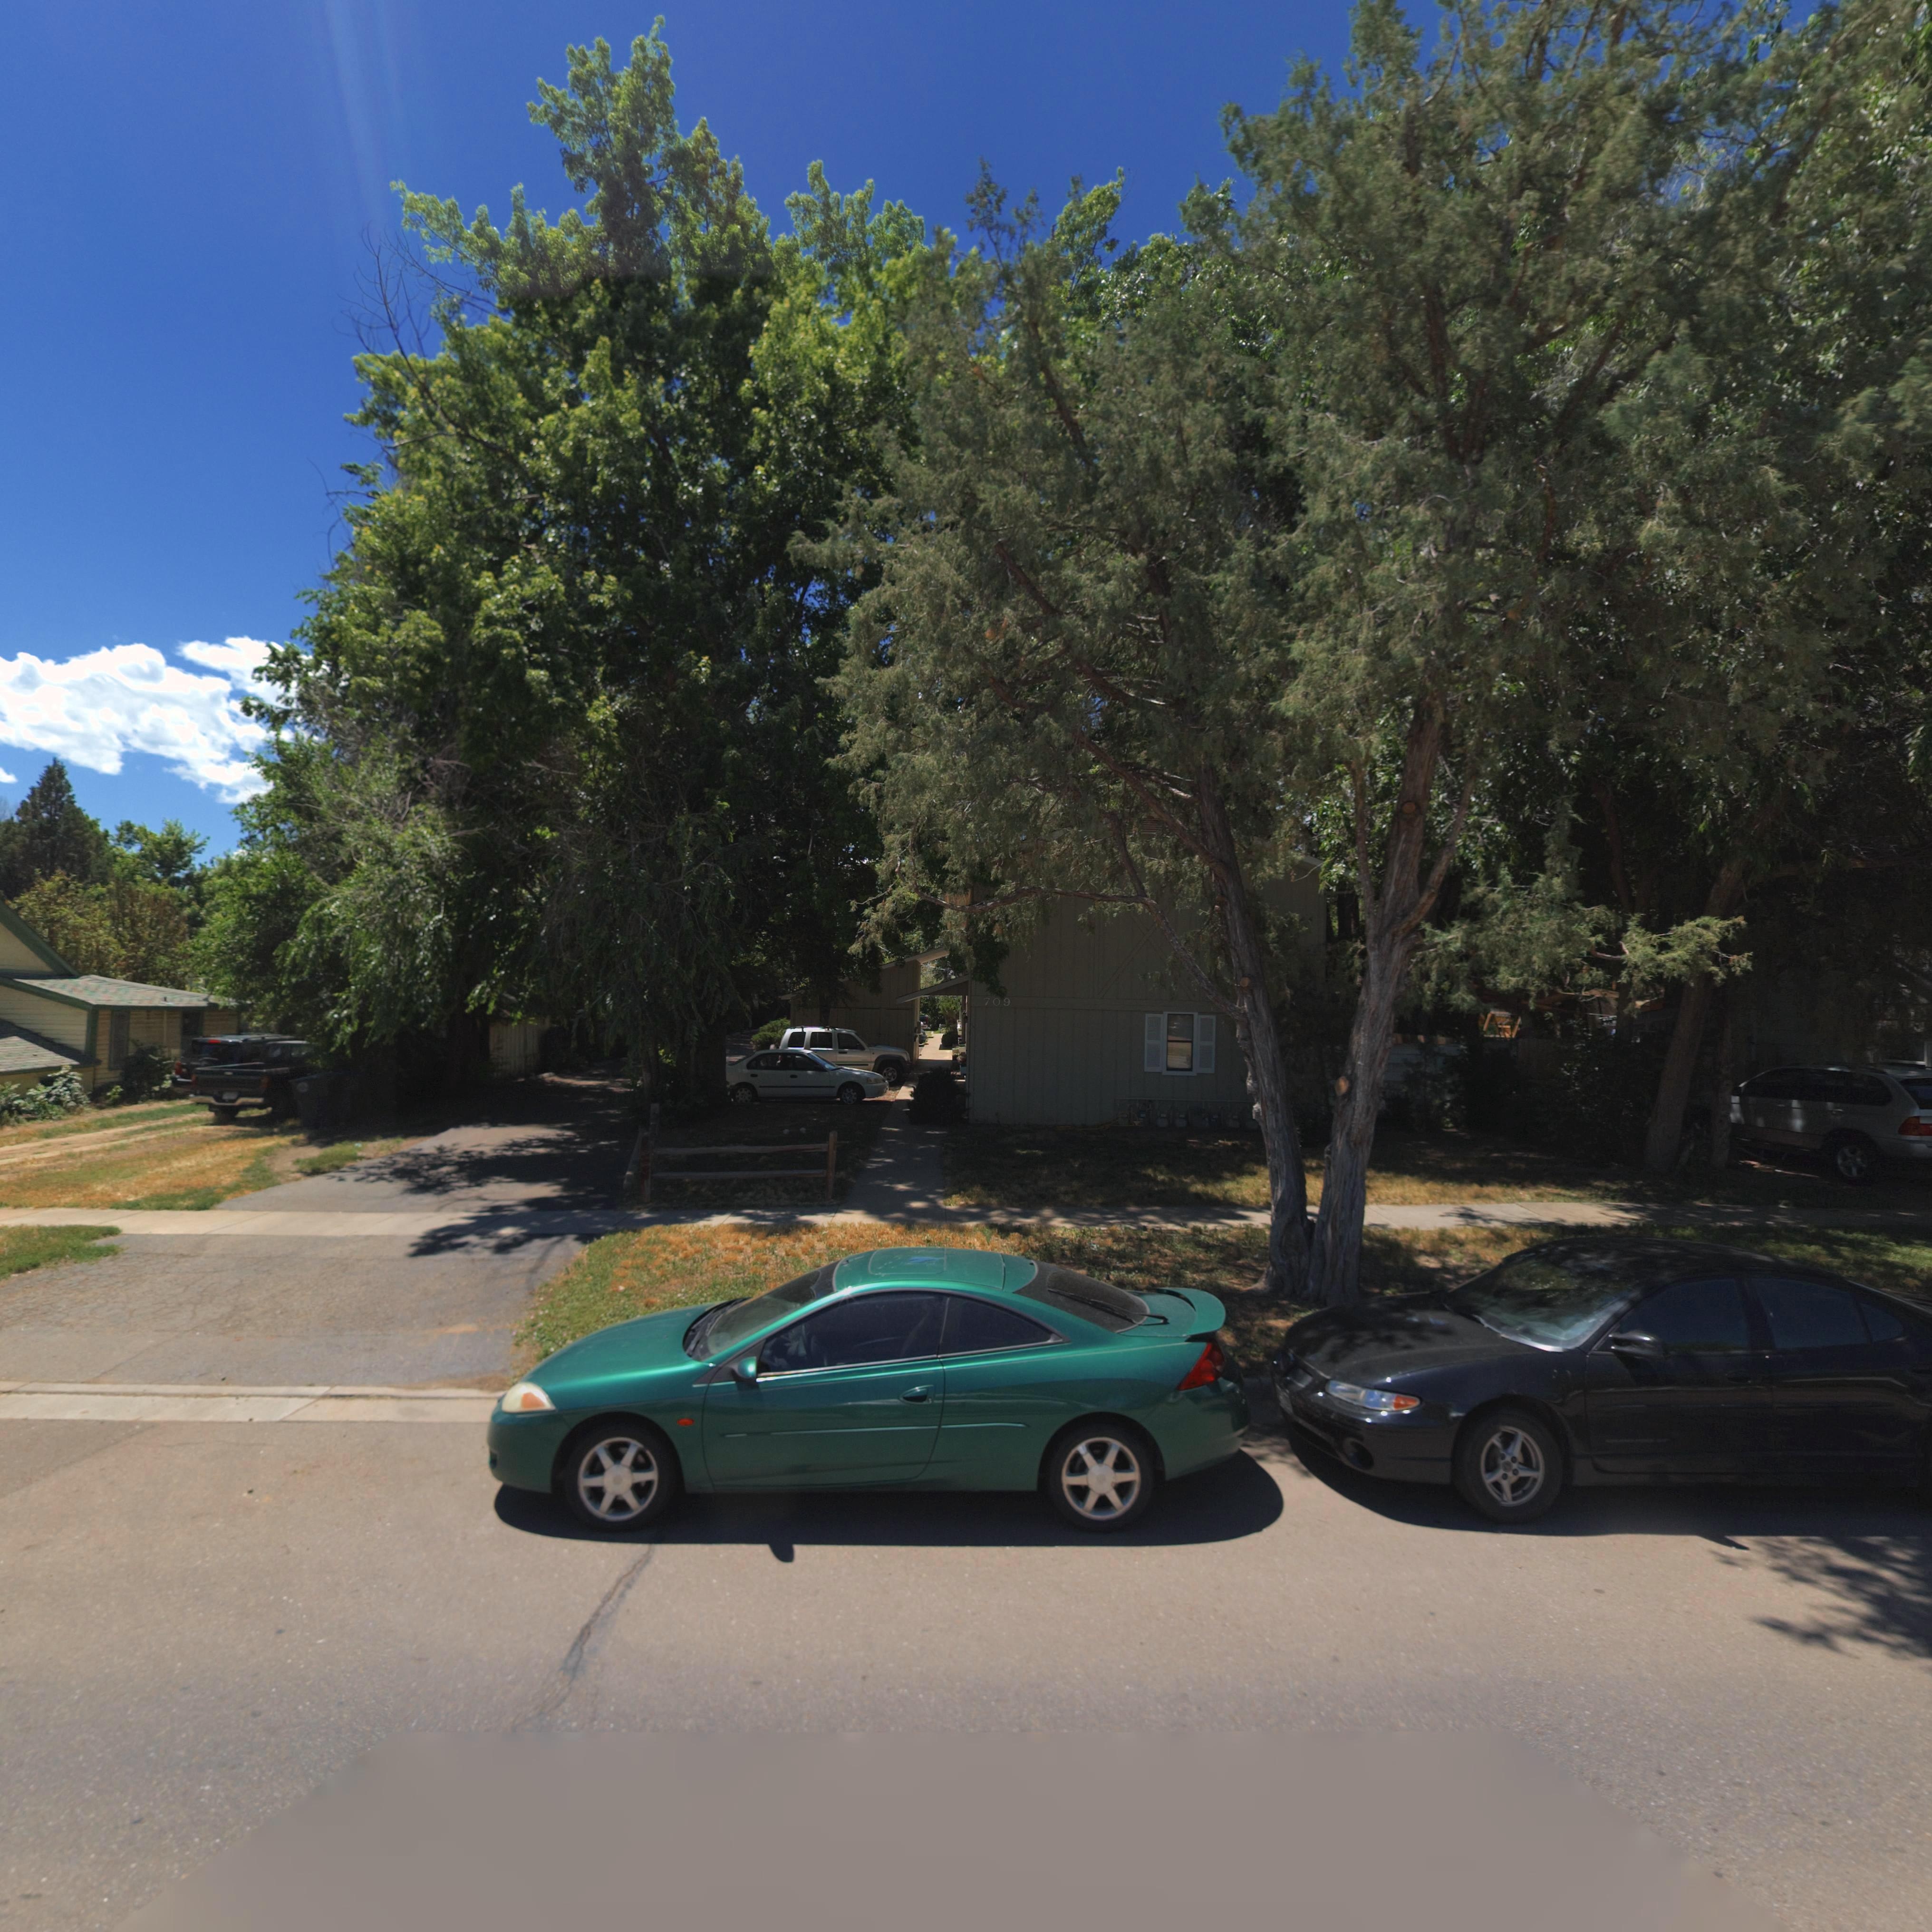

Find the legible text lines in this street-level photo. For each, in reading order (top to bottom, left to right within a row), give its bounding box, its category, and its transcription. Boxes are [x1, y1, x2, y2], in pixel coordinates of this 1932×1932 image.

[983, 997, 1010, 1006] StreetNumber: 709